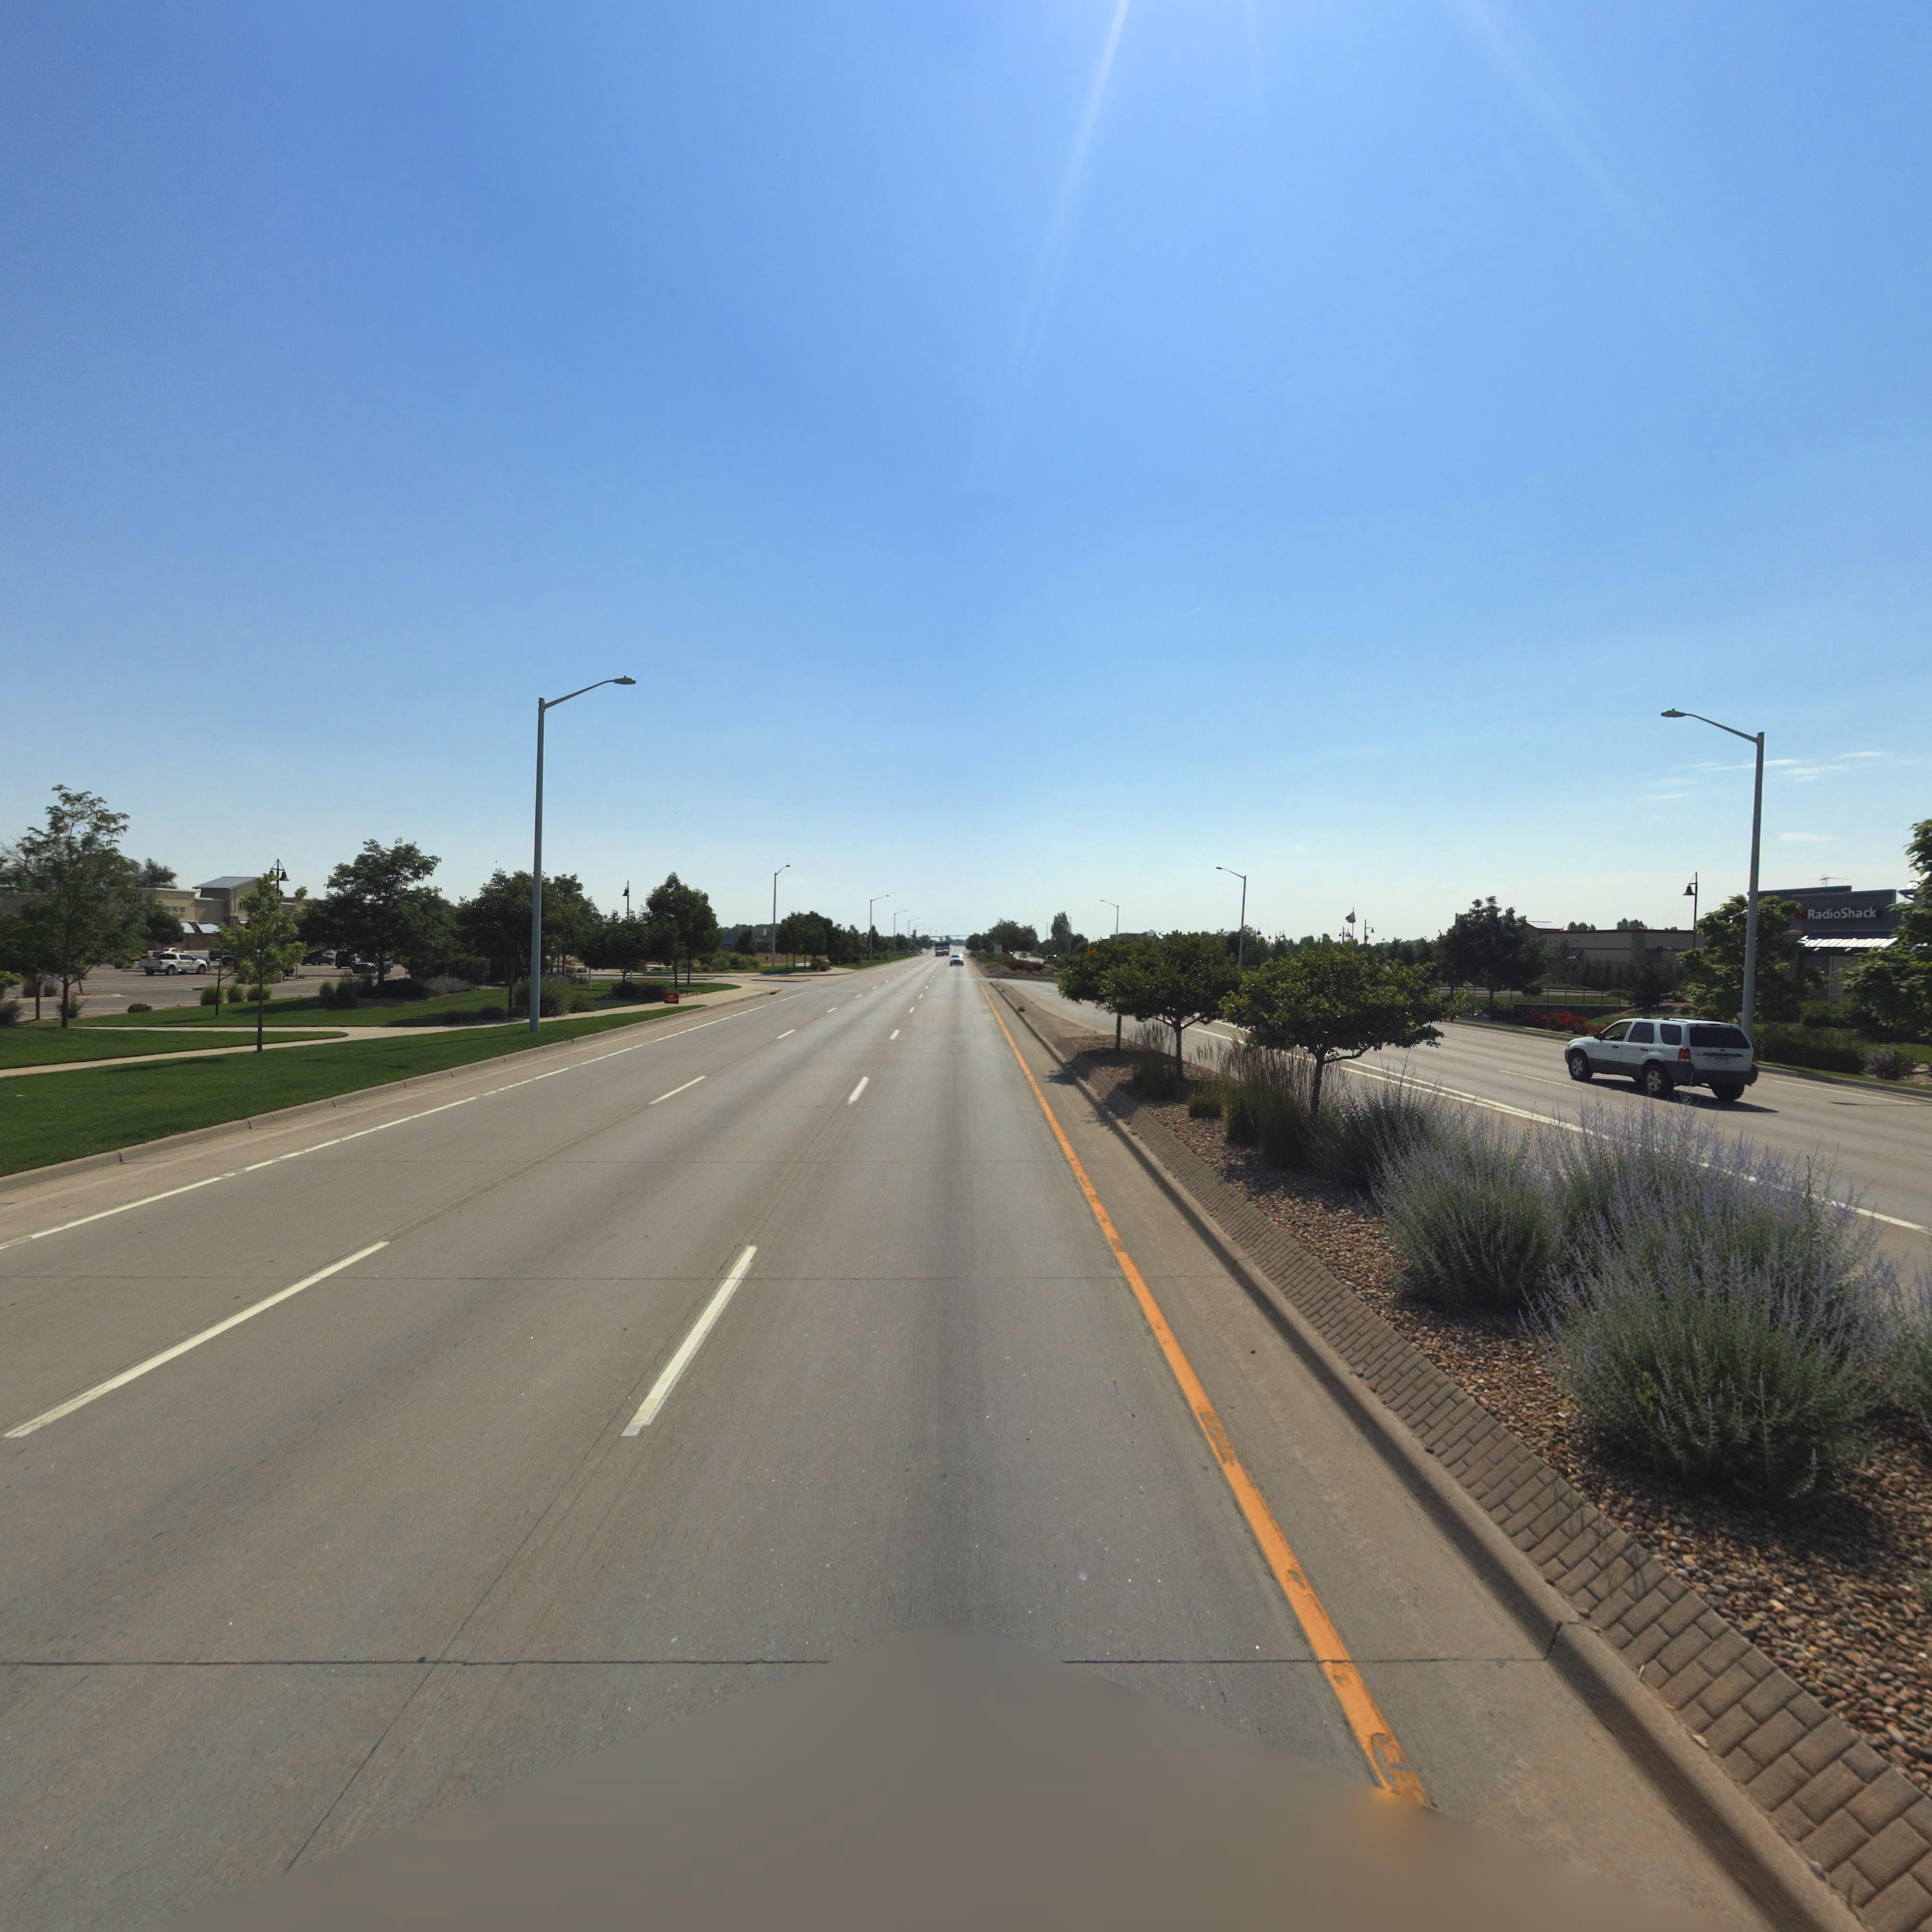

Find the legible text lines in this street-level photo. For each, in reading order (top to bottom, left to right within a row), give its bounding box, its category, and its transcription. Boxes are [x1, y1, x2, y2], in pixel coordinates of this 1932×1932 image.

[1807, 906, 1877, 919] BusinessName: RadioShack